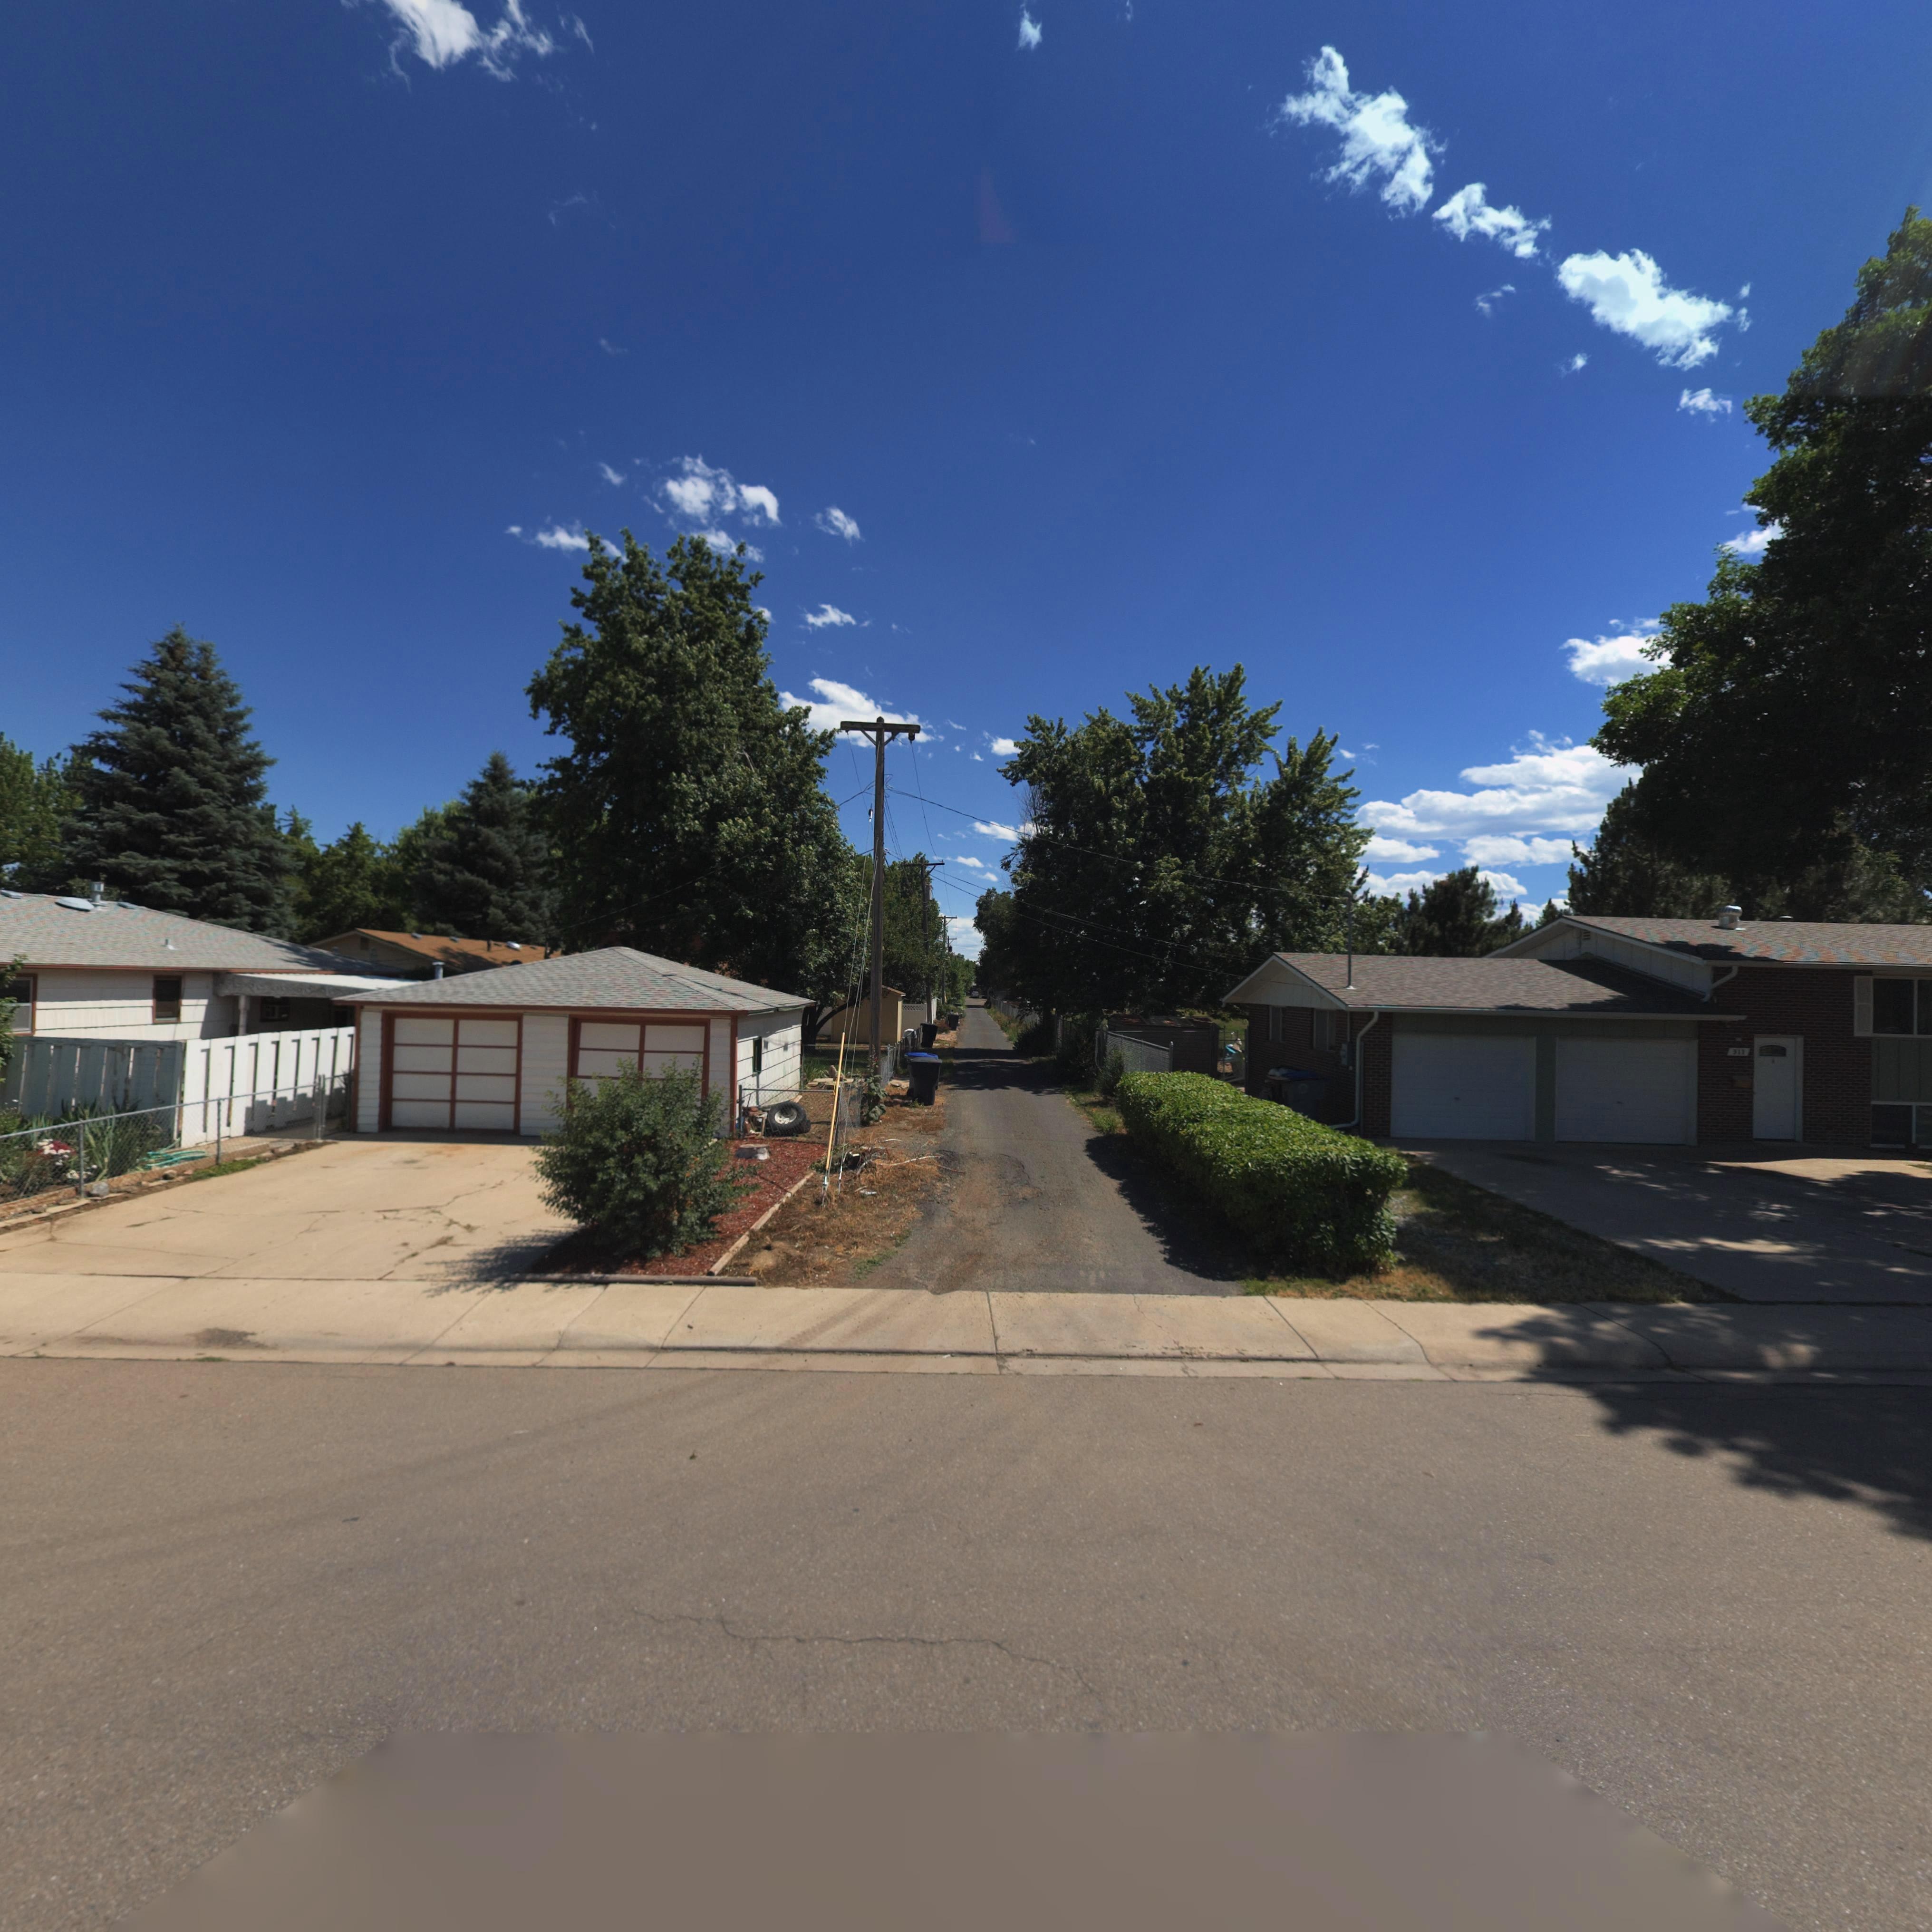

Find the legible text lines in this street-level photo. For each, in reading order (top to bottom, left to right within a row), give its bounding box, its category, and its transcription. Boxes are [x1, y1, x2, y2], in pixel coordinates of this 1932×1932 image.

[1732, 1049, 1744, 1054] StreetNumber: 311